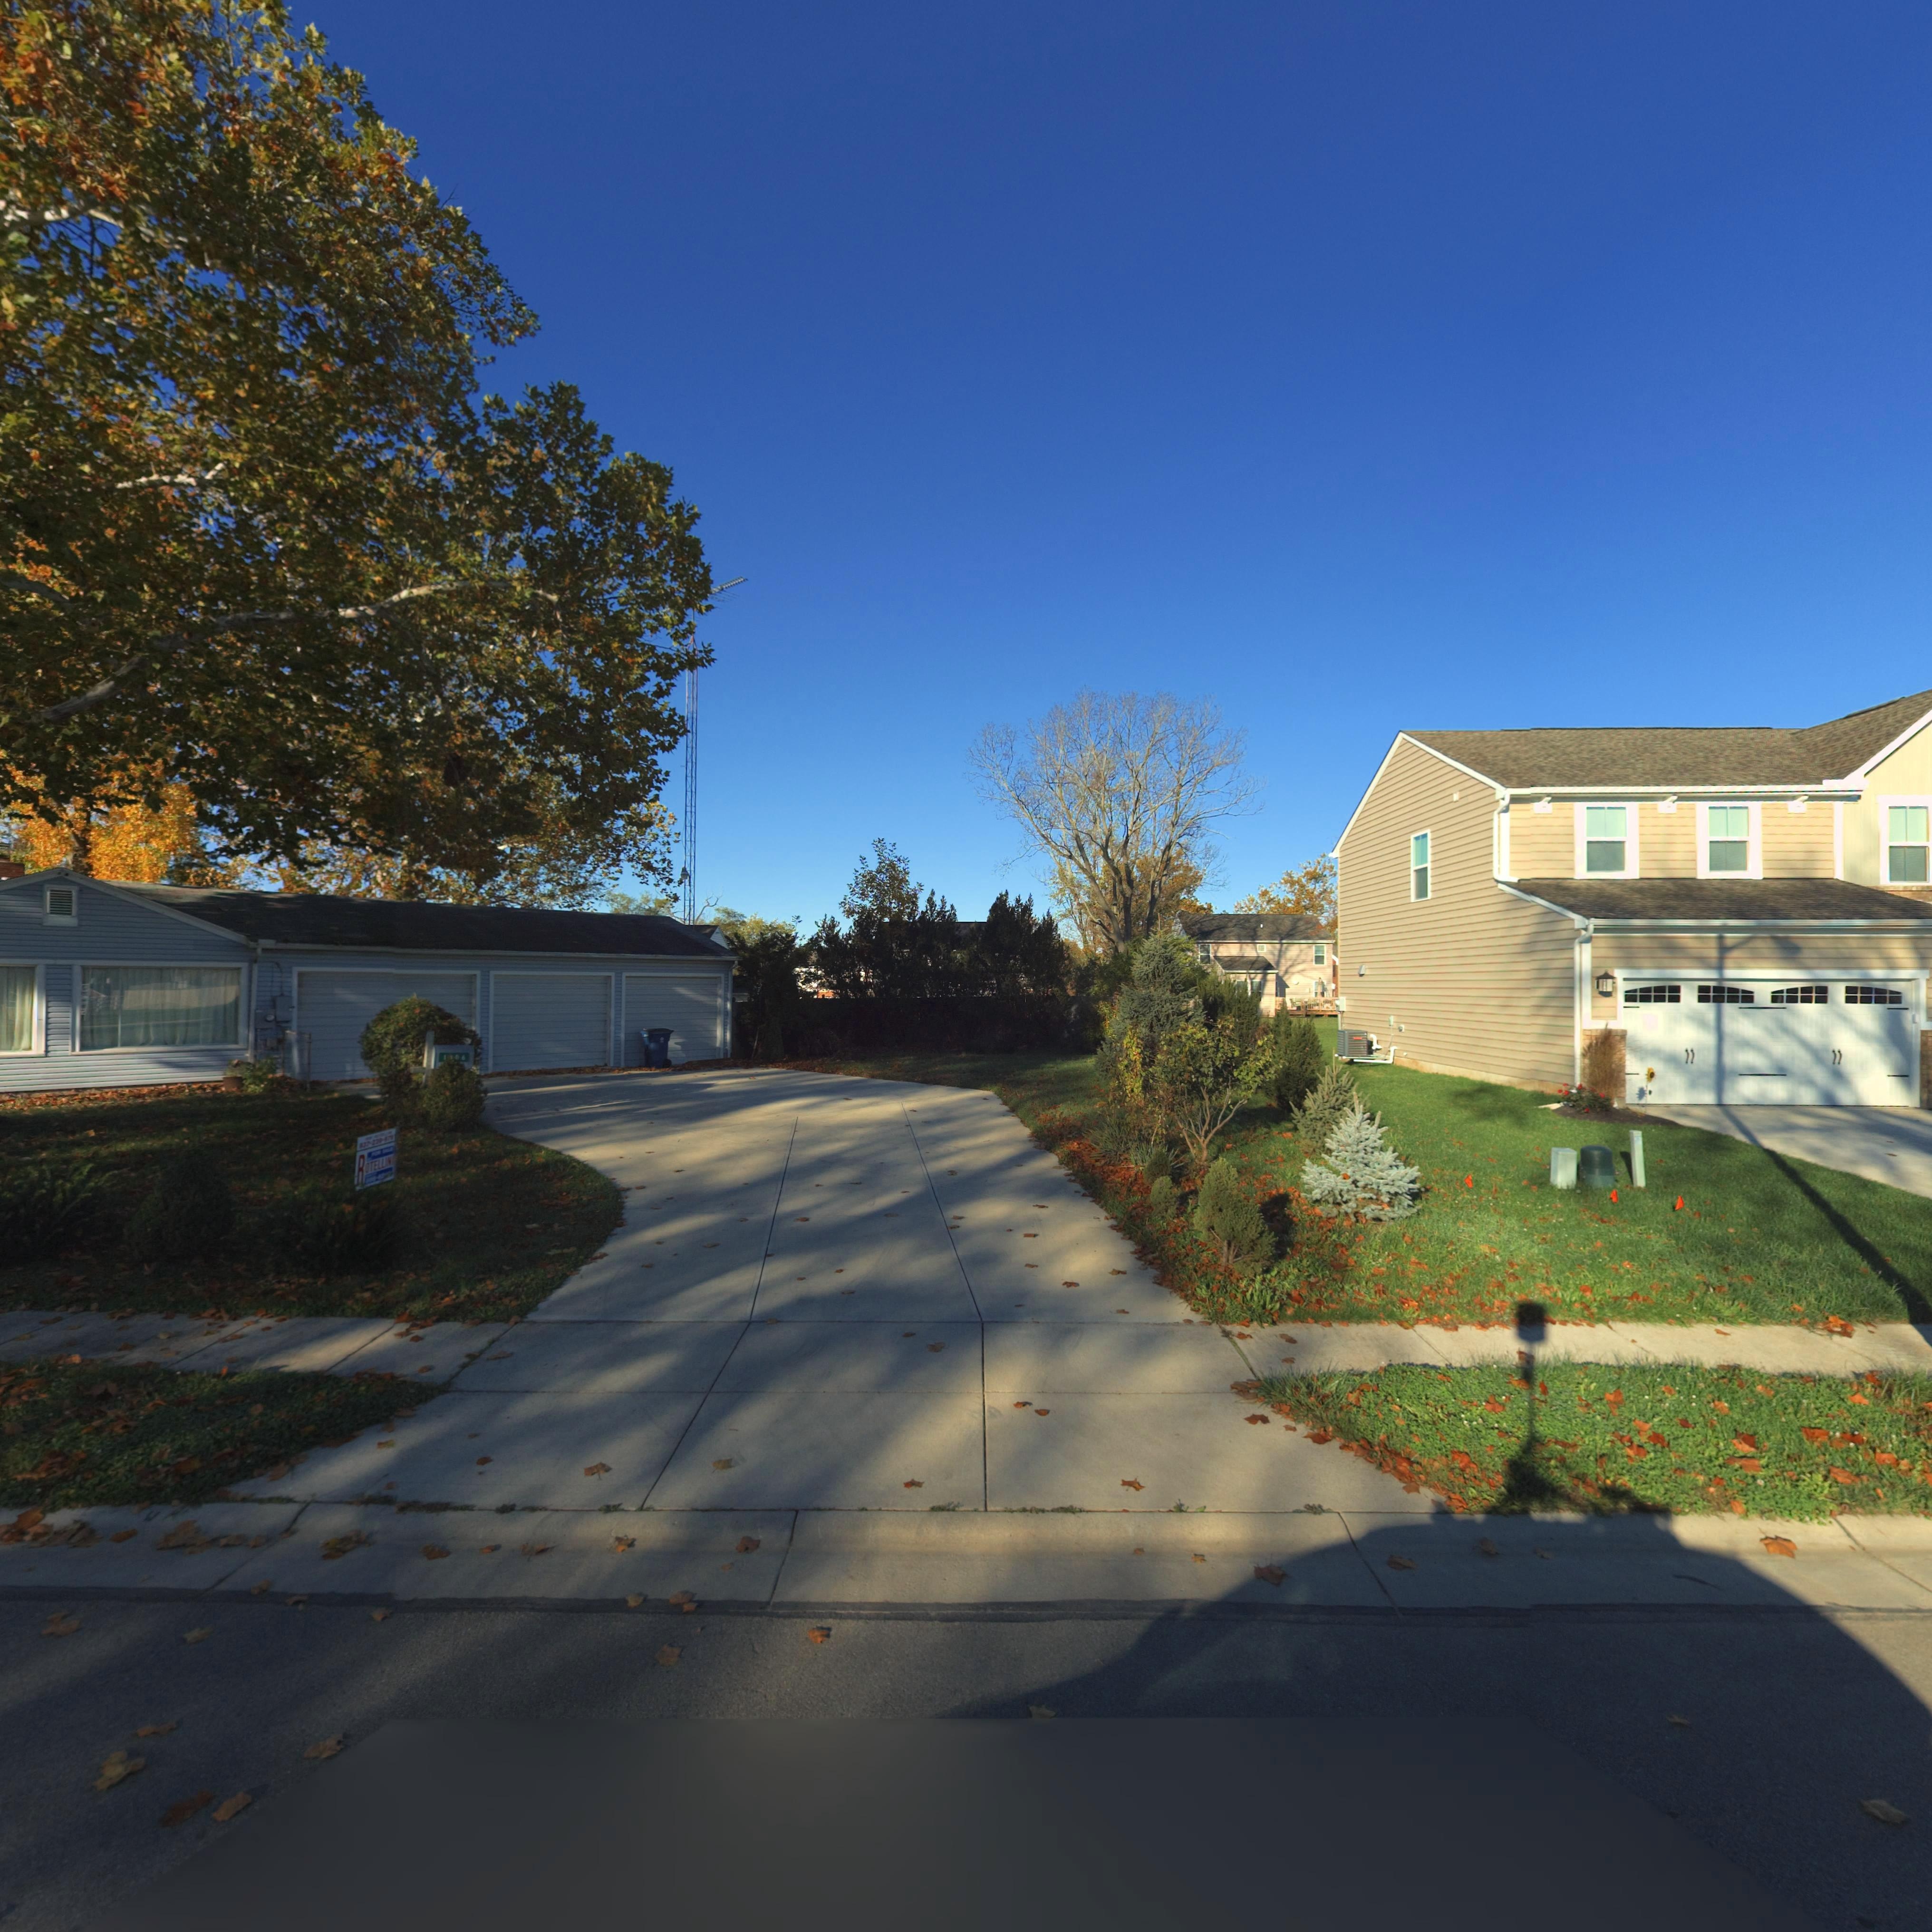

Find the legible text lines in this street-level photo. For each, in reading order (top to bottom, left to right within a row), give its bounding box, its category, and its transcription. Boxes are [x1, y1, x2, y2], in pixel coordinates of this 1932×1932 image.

[443, 1054, 466, 1061] StreetNumber: 1106